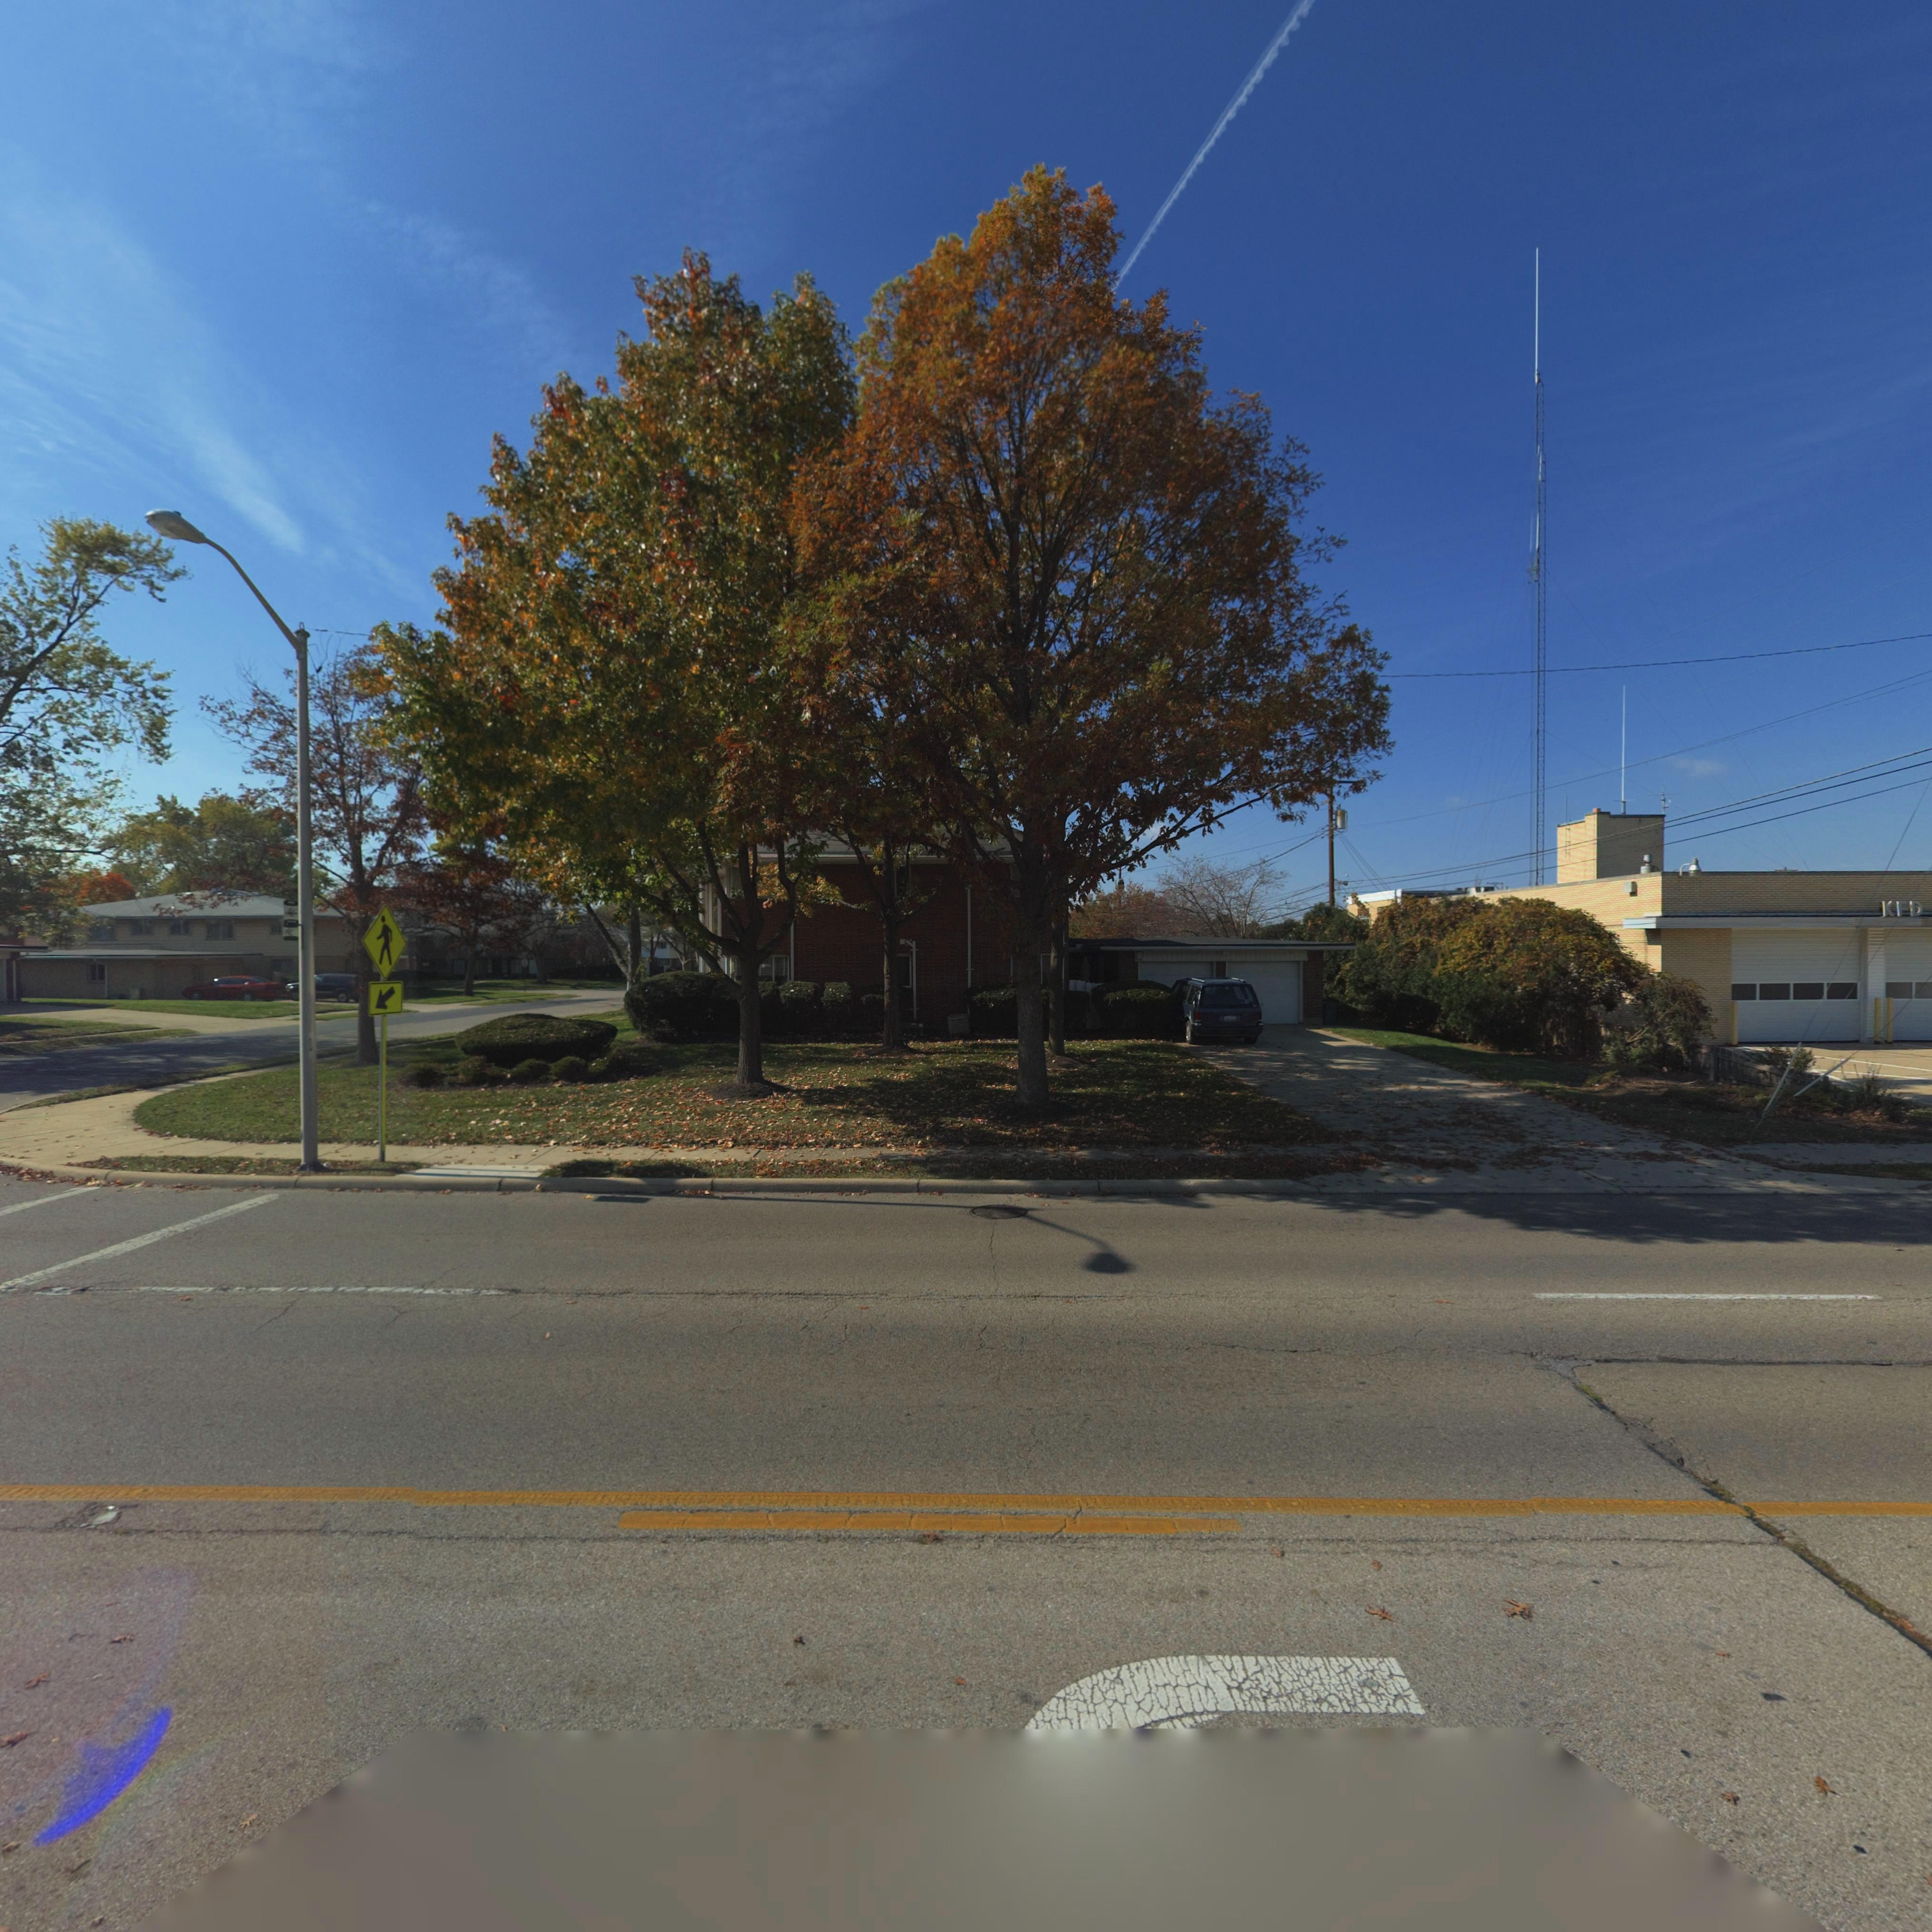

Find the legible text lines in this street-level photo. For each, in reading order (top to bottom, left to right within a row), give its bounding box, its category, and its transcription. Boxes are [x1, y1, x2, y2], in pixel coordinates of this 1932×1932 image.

[1882, 900, 1924, 917] None: K*D